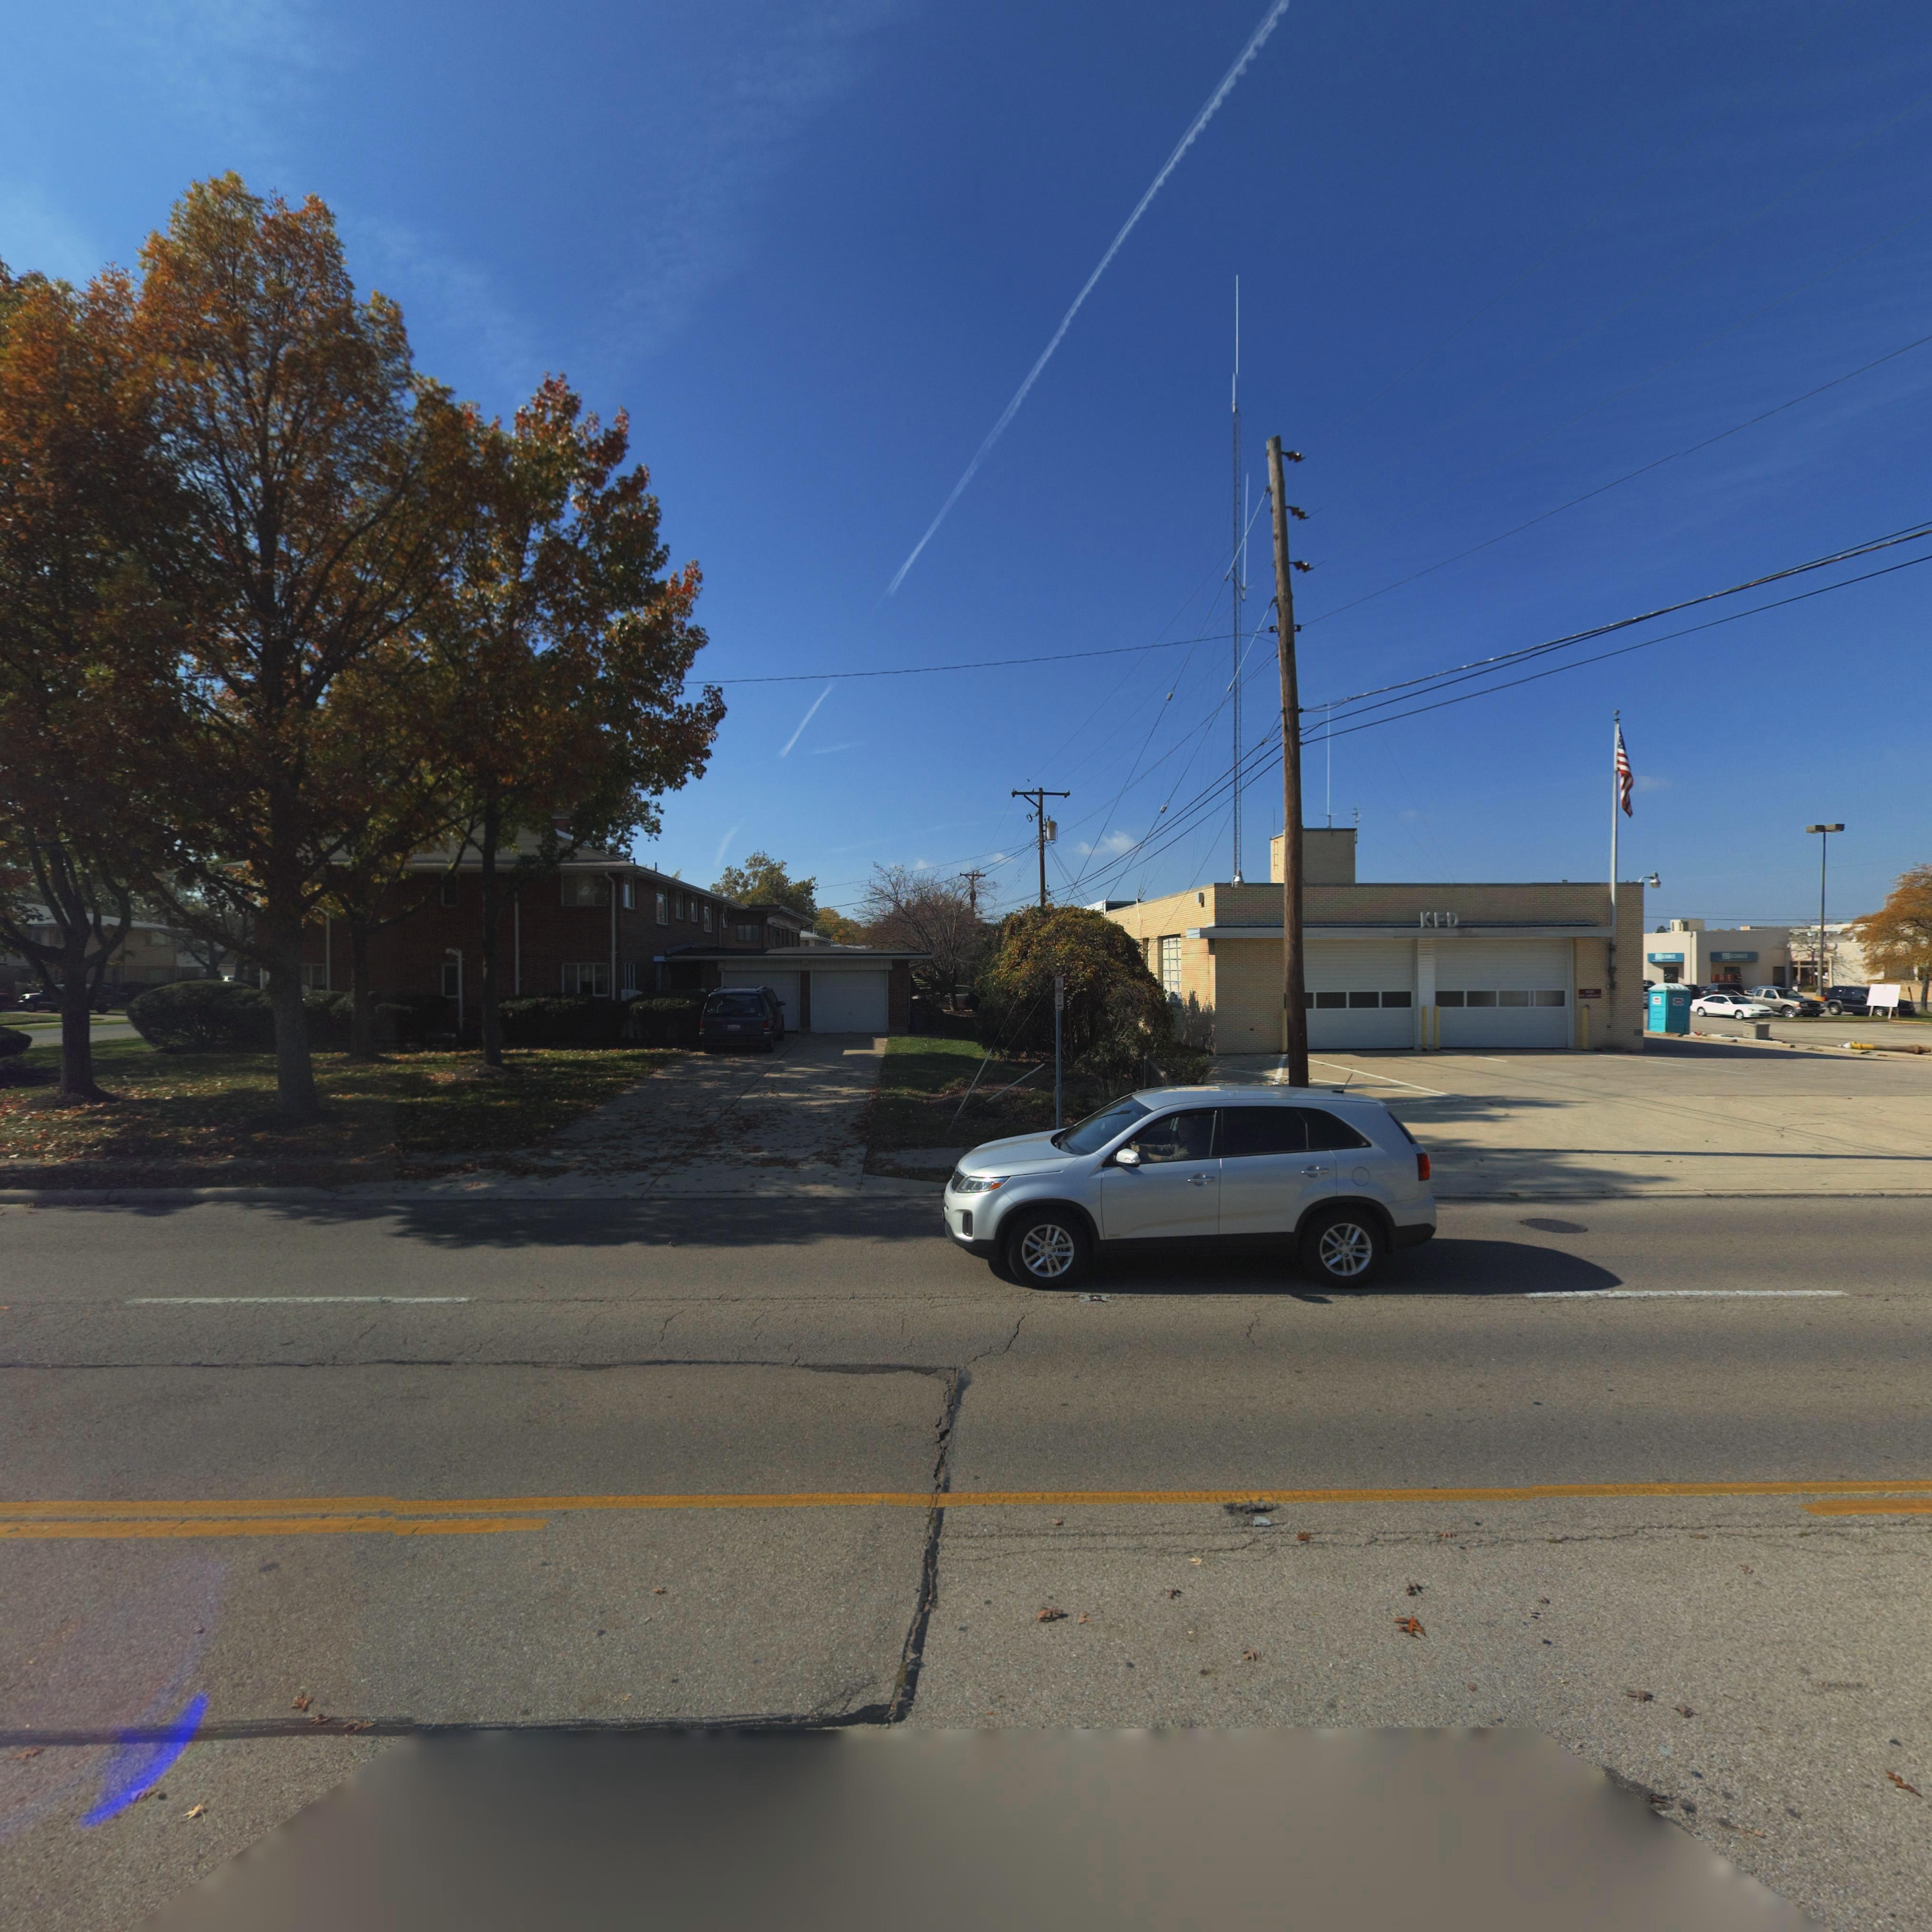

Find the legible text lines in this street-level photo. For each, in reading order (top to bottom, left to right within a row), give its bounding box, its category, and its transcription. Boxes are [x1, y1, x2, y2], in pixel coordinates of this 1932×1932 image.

[1420, 911, 1460, 928] None: KFD
[1712, 974, 1732, 983] None: FRE